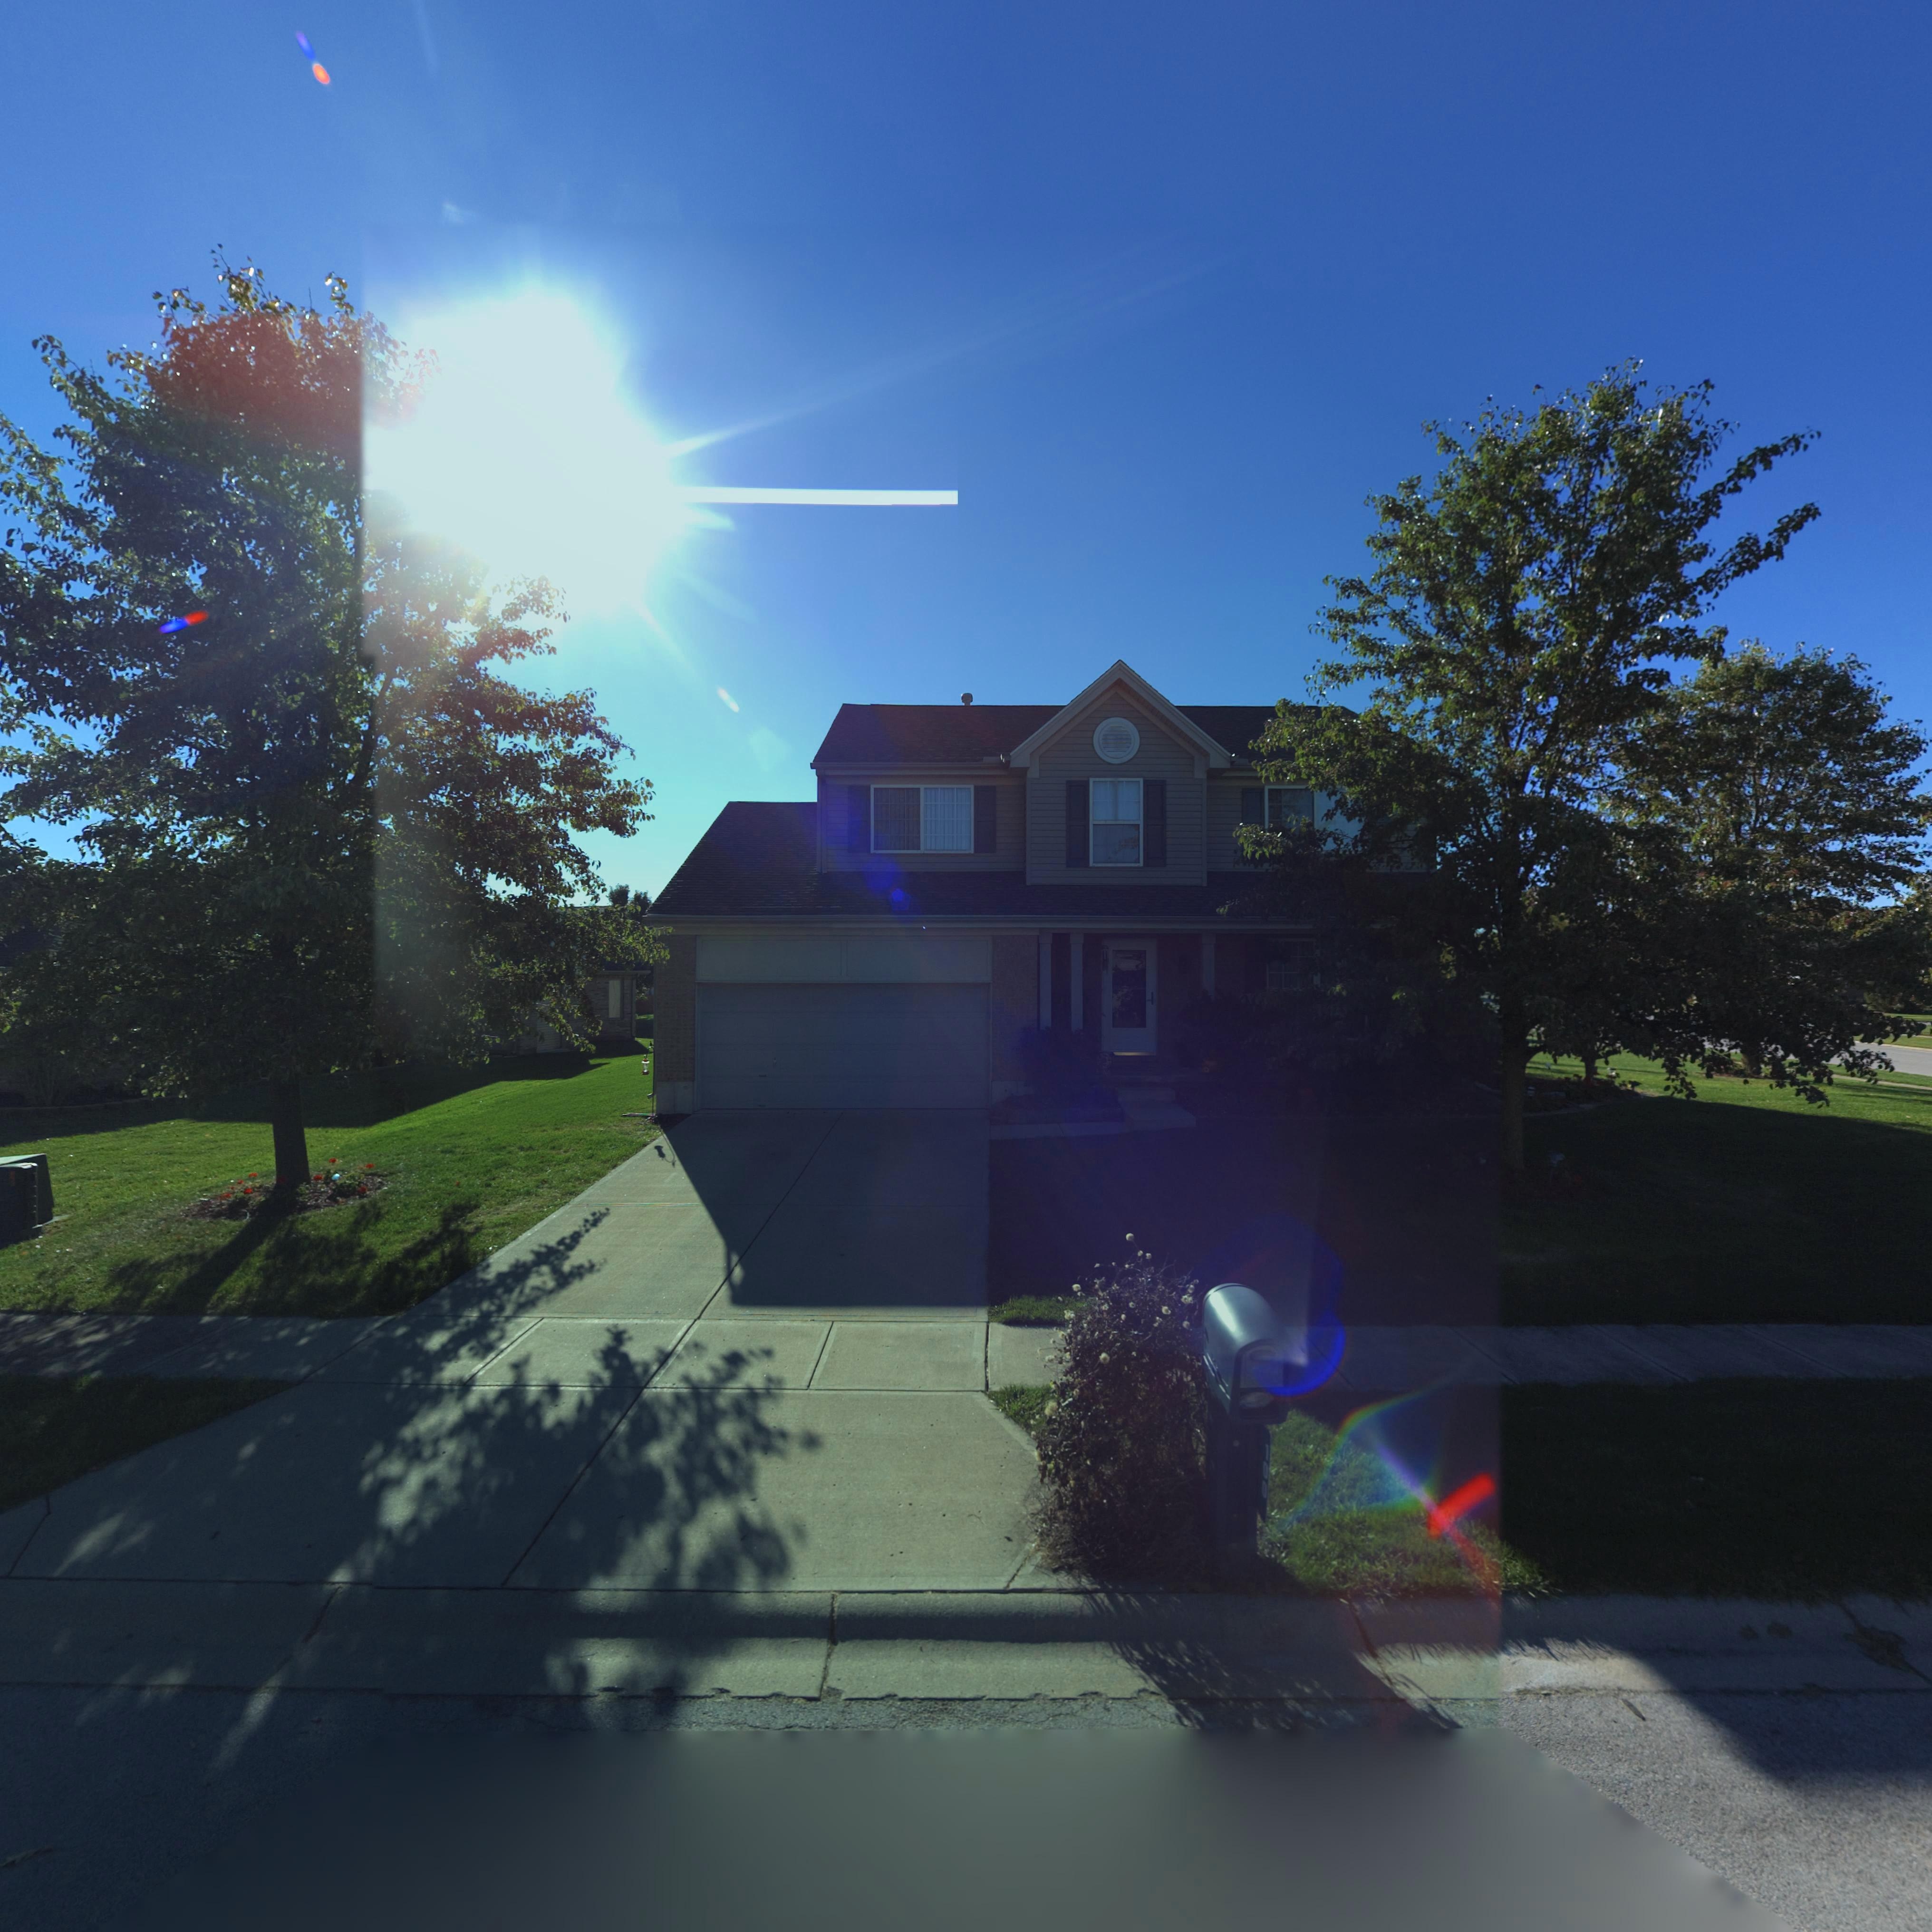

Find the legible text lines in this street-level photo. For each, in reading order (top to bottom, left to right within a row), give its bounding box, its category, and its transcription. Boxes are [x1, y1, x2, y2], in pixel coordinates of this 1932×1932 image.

[1258, 1440, 1272, 1501] StreetNumber: 100